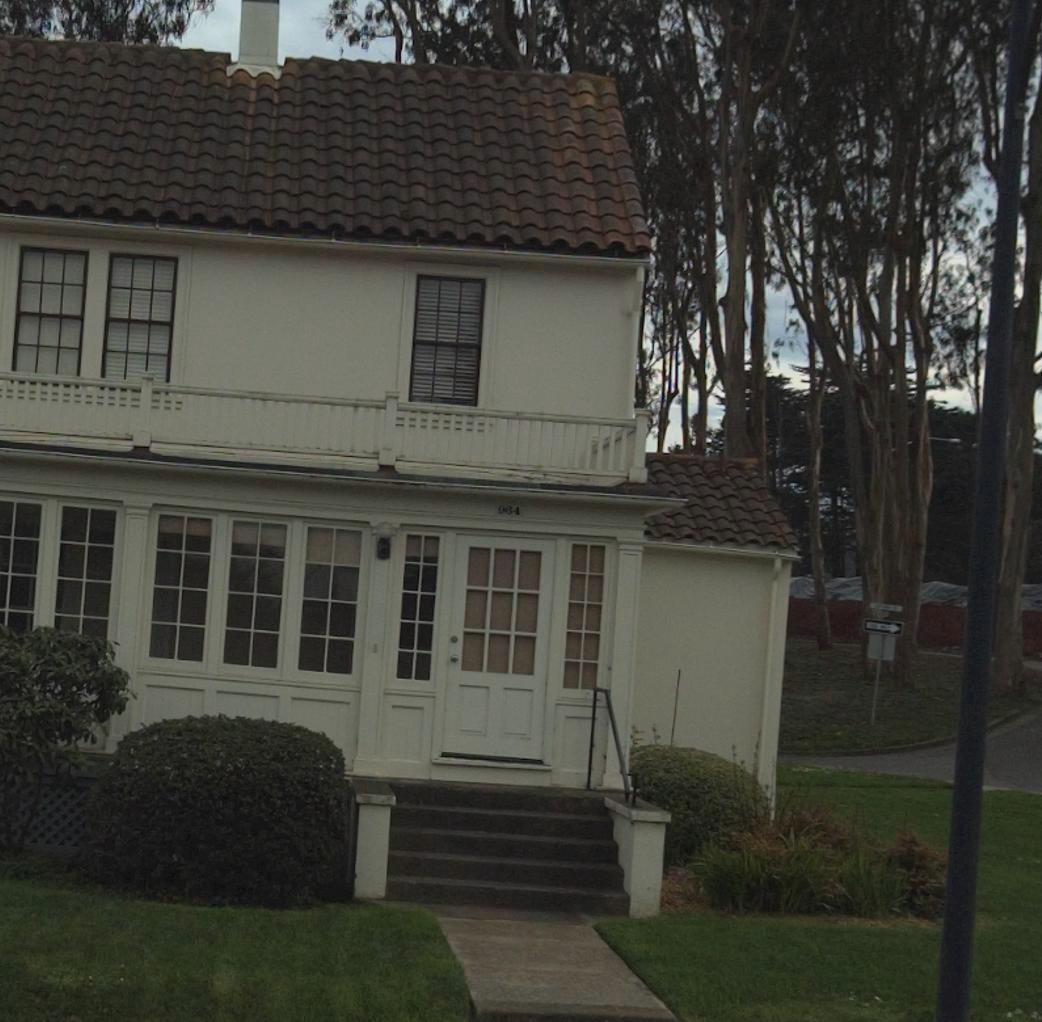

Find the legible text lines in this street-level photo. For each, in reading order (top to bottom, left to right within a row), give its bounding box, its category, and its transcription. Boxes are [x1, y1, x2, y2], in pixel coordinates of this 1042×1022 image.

[496, 504, 521, 517] StreetNumber: 964